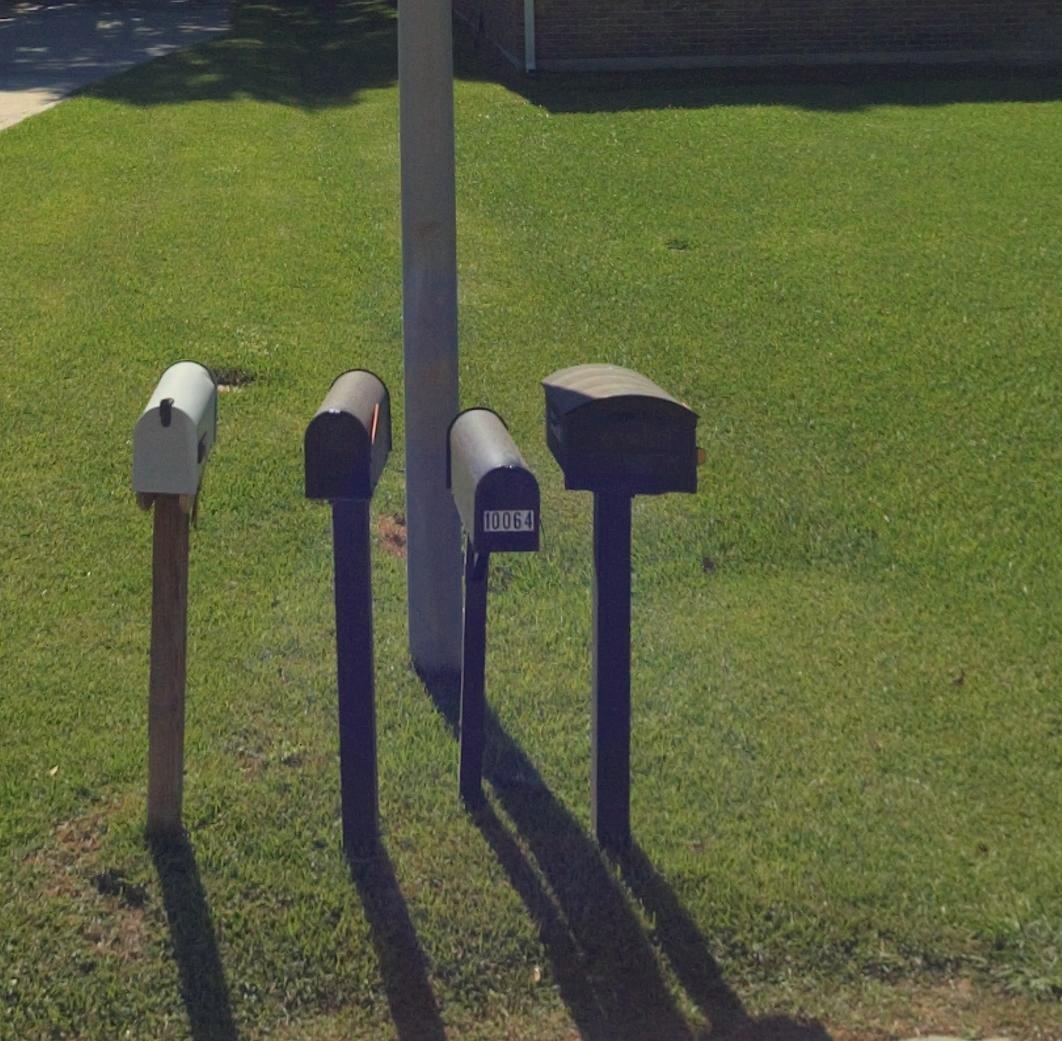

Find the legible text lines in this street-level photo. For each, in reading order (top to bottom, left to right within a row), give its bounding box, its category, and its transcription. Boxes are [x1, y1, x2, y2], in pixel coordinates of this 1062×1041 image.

[483, 510, 534, 530] StreetNumber: 10064